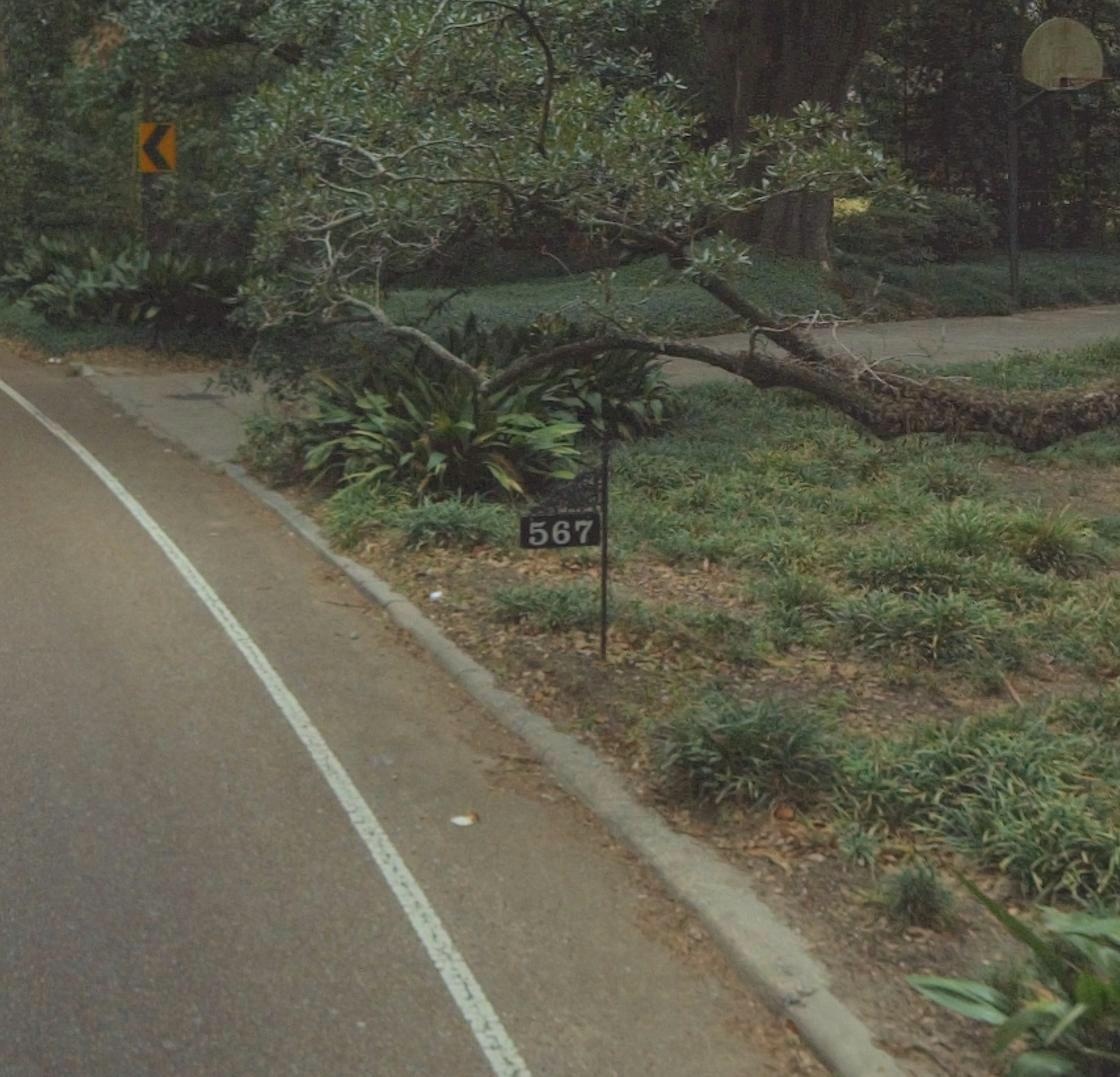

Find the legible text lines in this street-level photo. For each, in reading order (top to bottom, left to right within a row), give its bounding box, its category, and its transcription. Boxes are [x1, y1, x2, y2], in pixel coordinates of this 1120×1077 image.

[528, 519, 597, 547] StreetNumber: 567